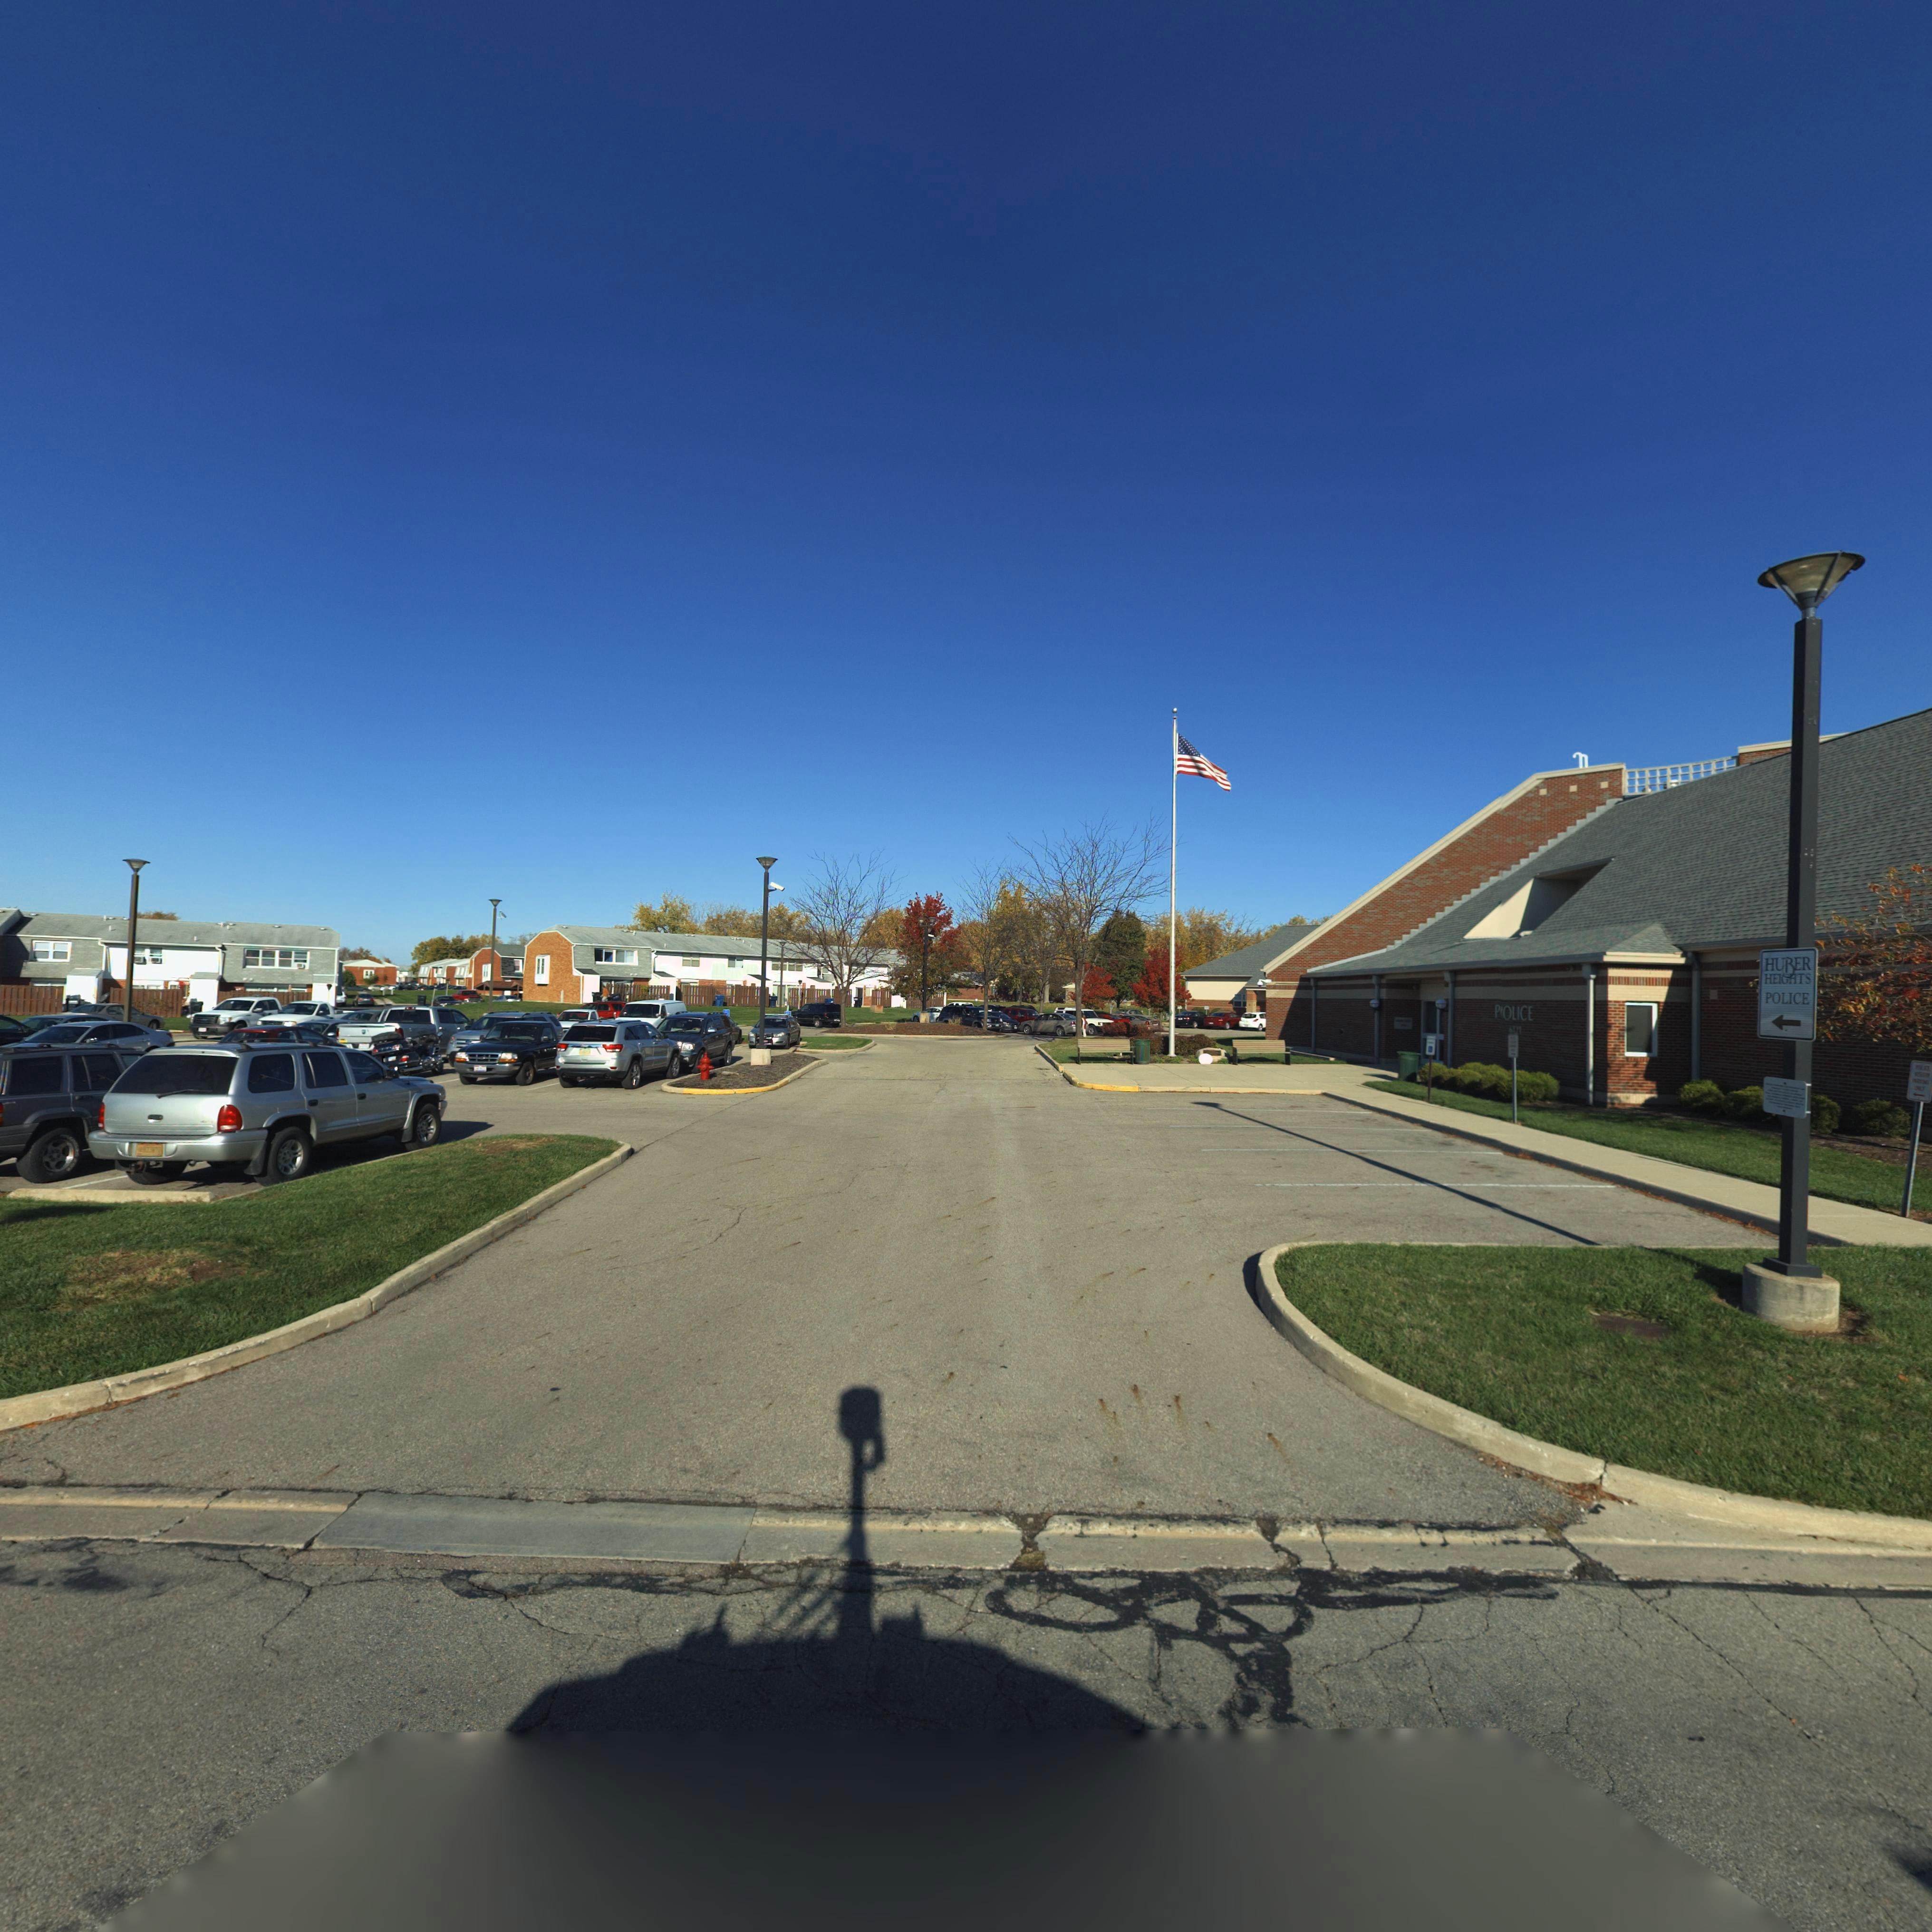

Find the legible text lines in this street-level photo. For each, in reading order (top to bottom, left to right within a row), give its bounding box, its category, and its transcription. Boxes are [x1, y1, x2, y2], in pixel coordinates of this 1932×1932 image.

[1508, 1024, 1522, 1035] StreetNumber: 6121